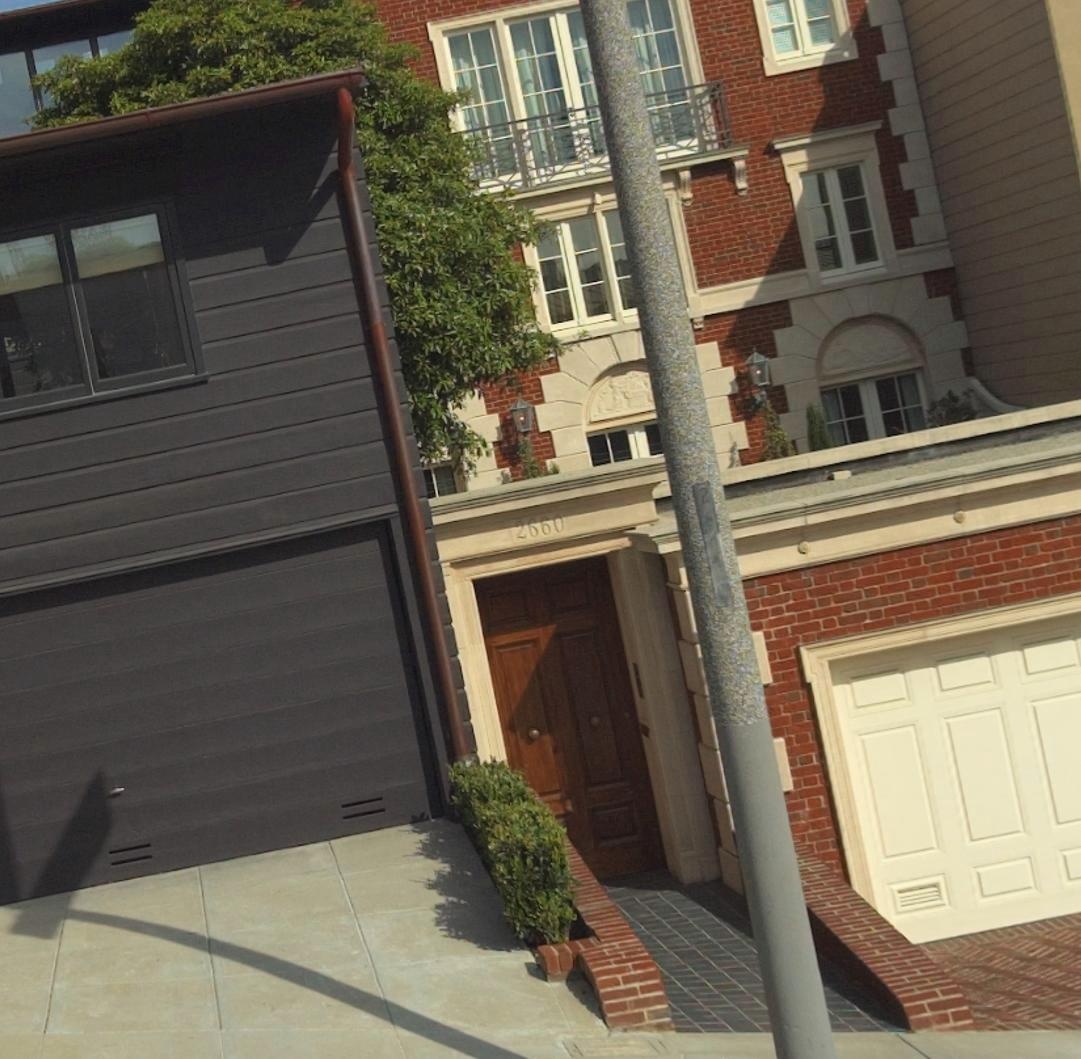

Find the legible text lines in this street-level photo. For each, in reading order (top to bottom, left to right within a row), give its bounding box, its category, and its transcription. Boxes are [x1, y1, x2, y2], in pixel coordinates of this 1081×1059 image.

[511, 508, 569, 545] StreetNumber: 2660